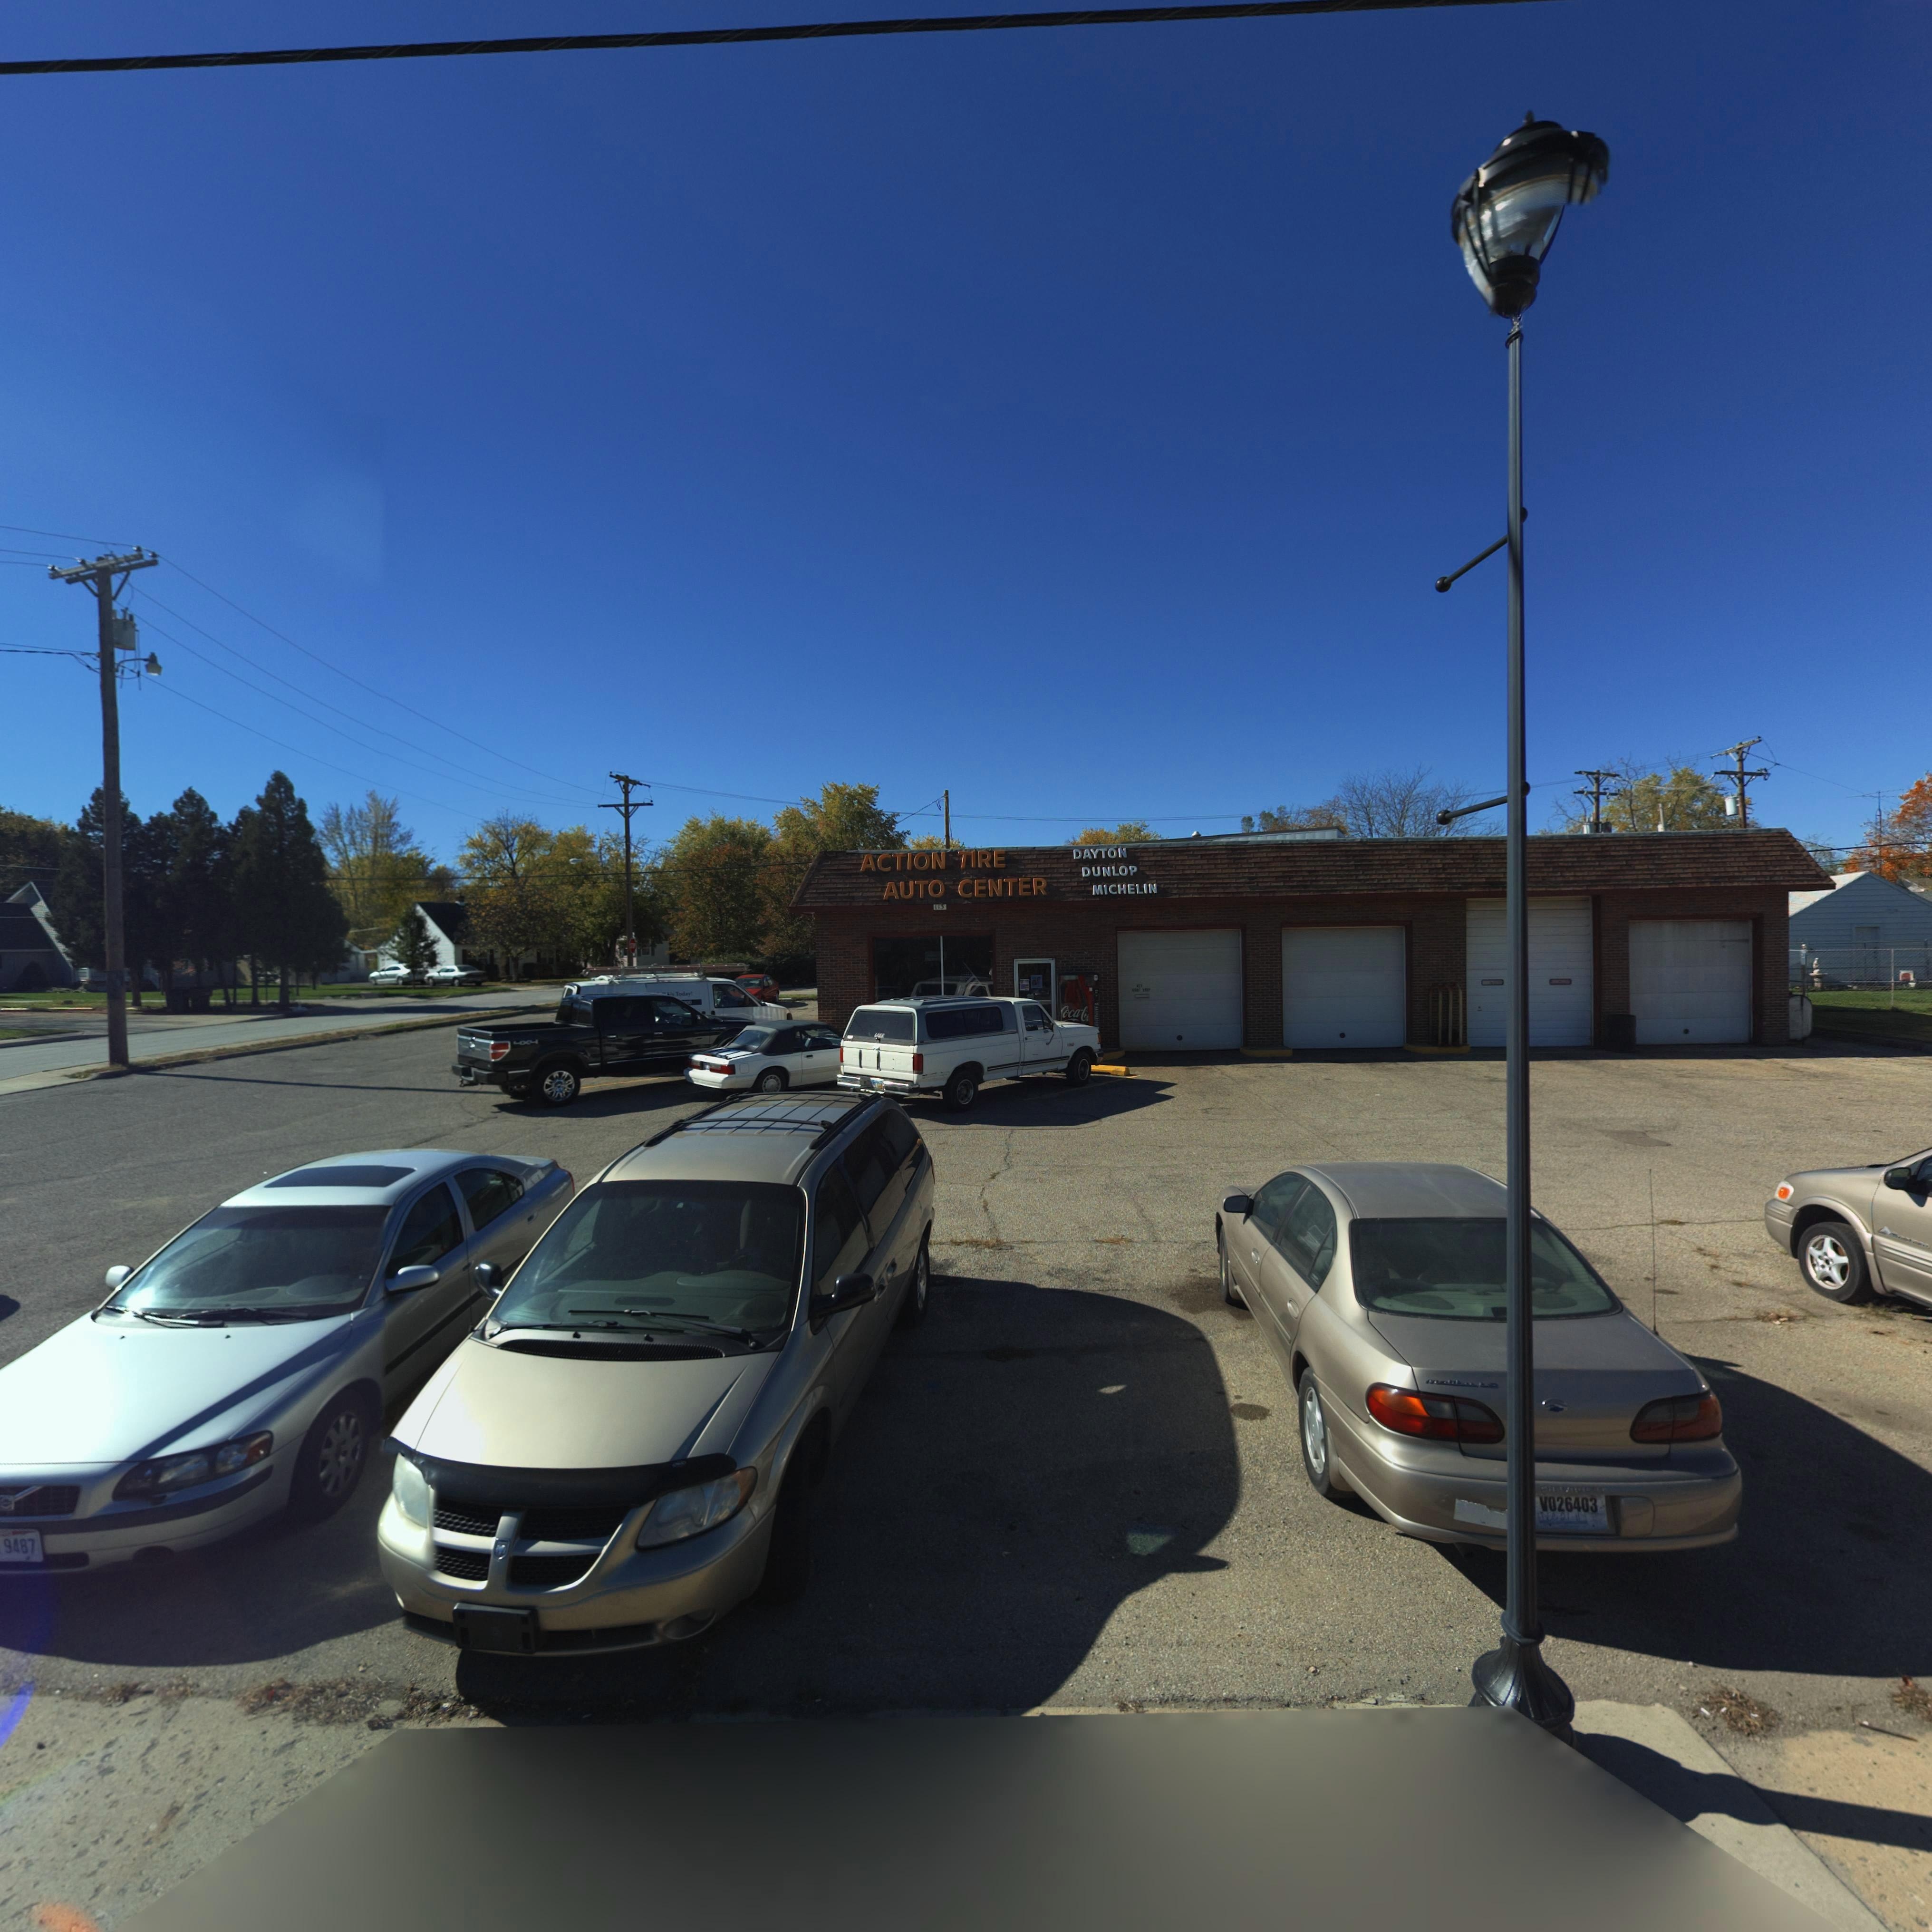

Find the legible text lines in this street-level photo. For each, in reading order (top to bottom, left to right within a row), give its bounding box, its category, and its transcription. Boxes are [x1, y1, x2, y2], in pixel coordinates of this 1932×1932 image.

[858, 849, 1007, 873] BusinessName: ACTION TIRE
[881, 877, 1049, 901] BusinessName: AUTO CENTER
[934, 904, 945, 909] StreetNumber: 113
[1062, 1008, 1082, 1019] None: oca